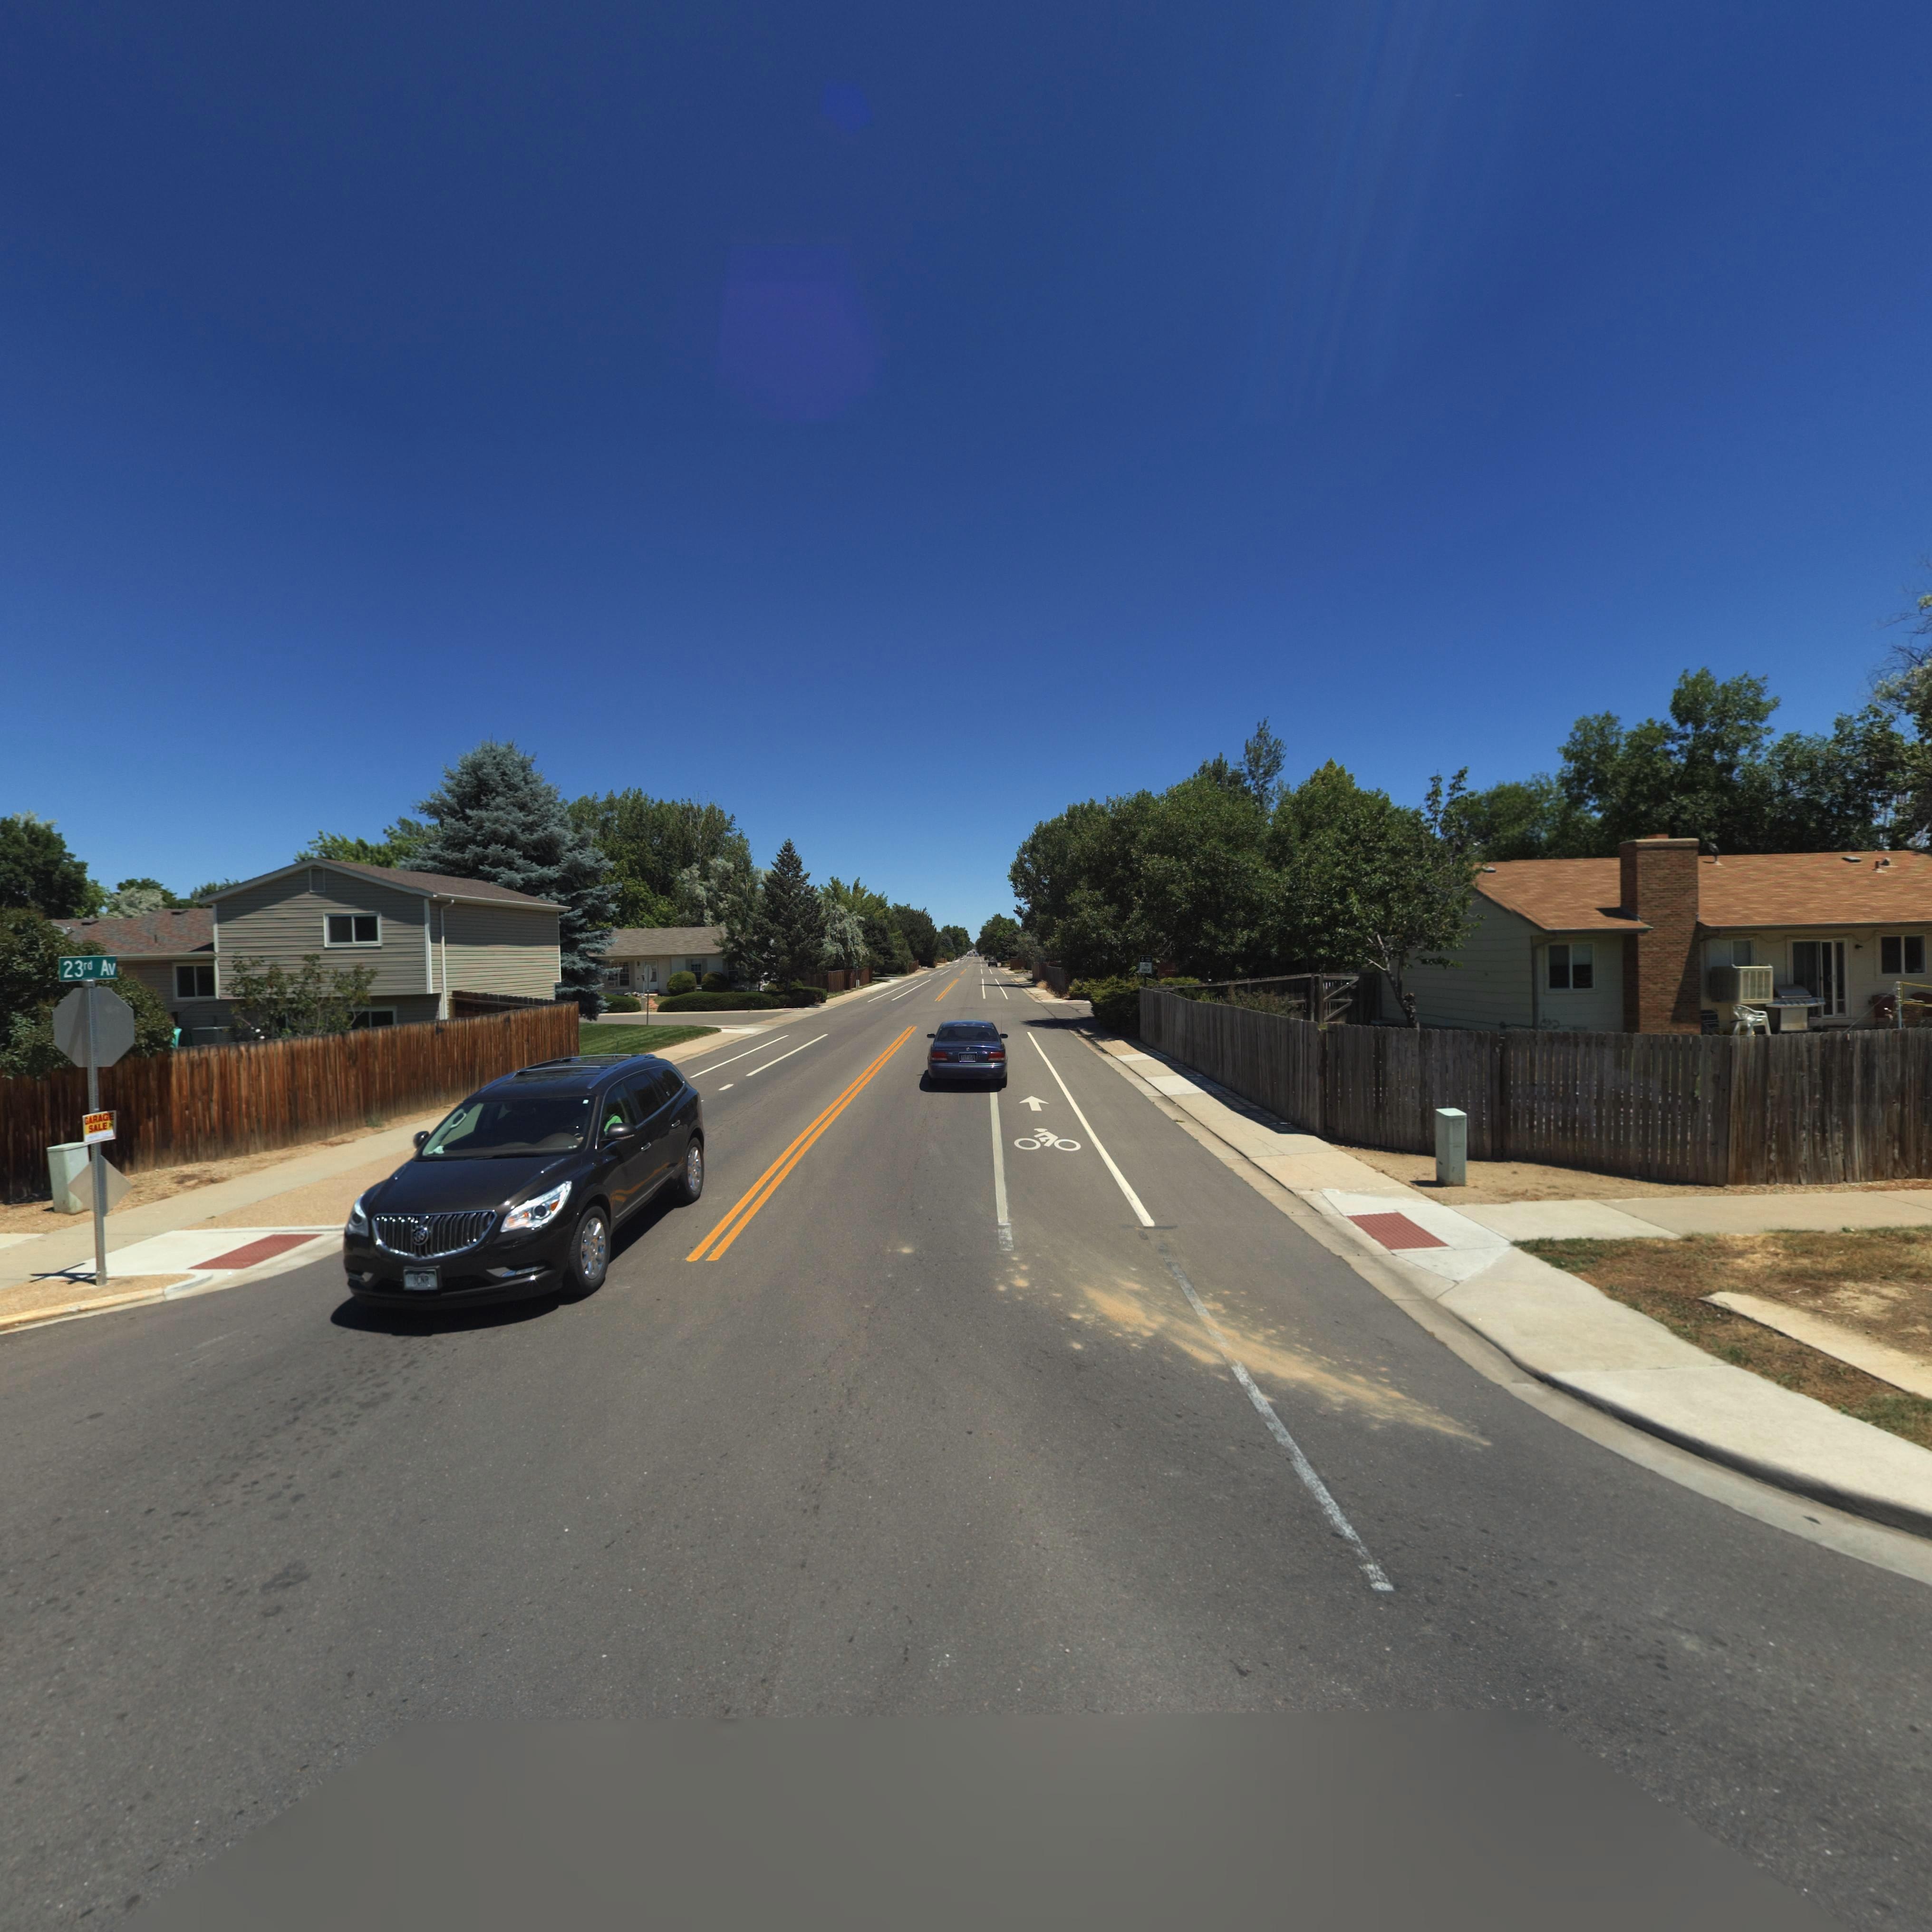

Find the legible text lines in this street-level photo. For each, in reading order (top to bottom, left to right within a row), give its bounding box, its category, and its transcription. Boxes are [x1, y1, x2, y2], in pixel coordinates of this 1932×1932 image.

[63, 958, 116, 978] StreetName: 23rd Av